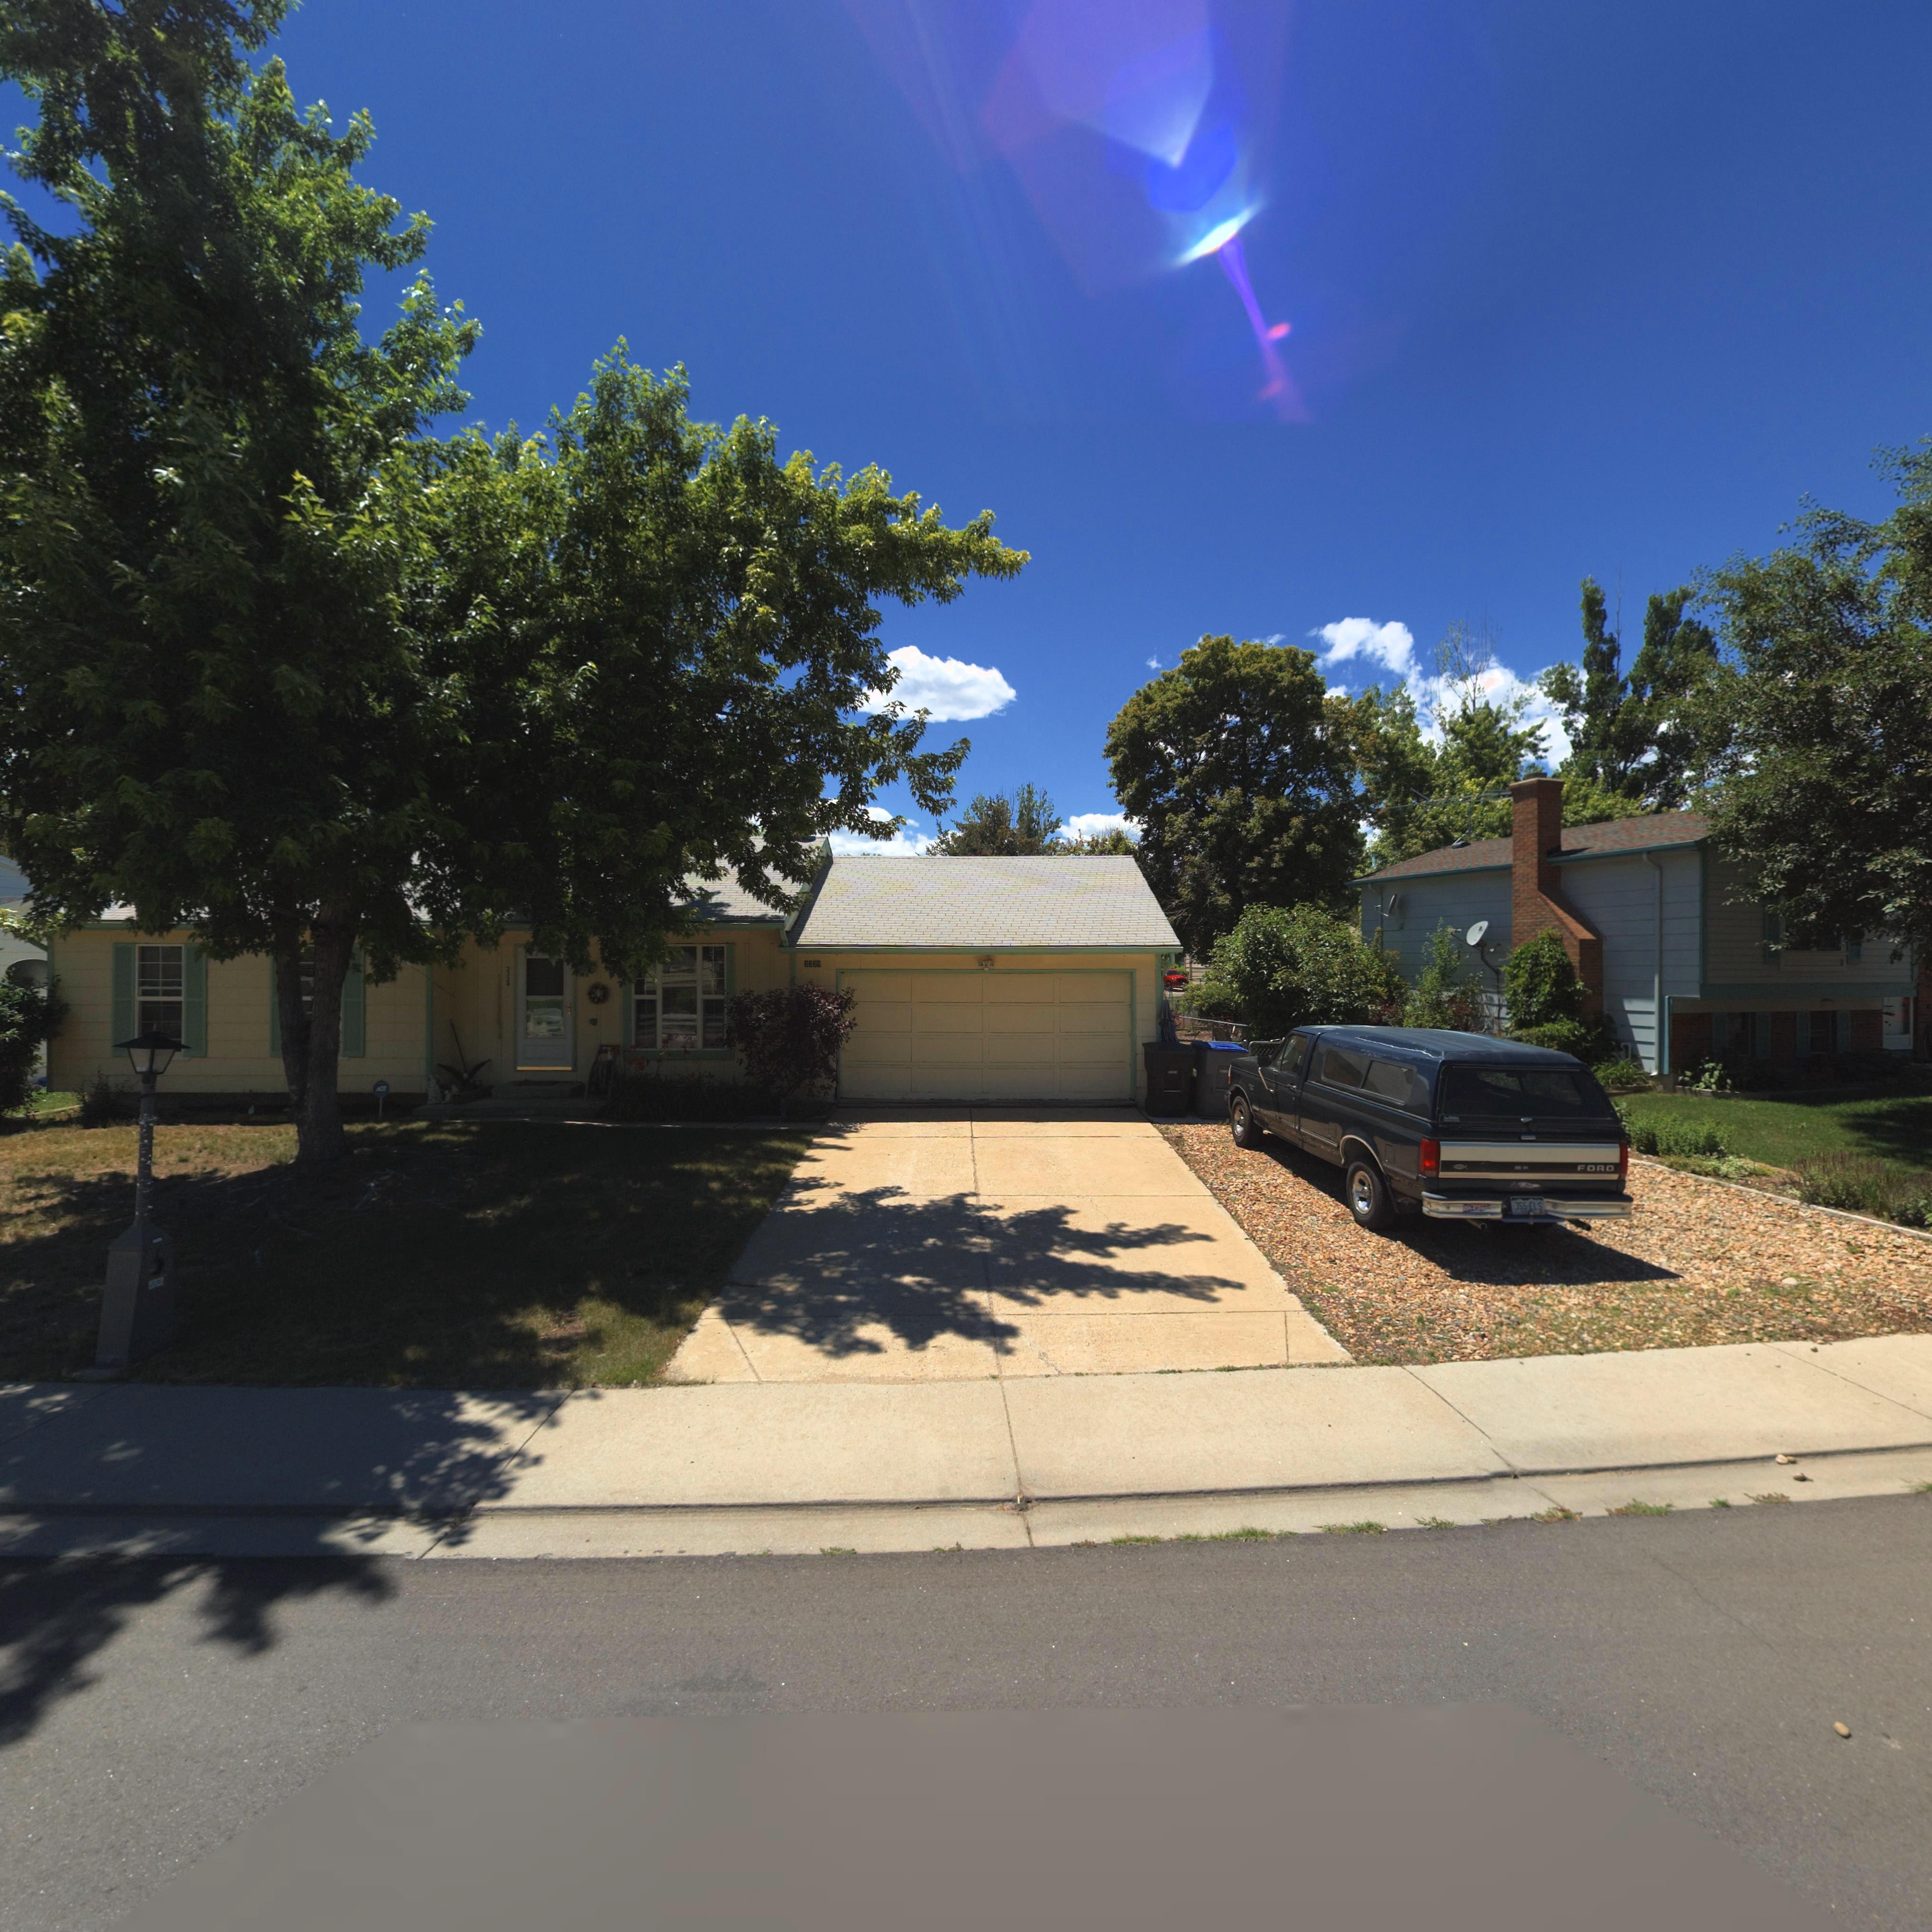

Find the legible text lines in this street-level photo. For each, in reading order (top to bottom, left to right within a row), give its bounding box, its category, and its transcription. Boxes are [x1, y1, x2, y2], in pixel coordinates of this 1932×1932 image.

[804, 960, 821, 966] StreetNumber: 2329
[505, 966, 510, 987] StreetNumber: 2329